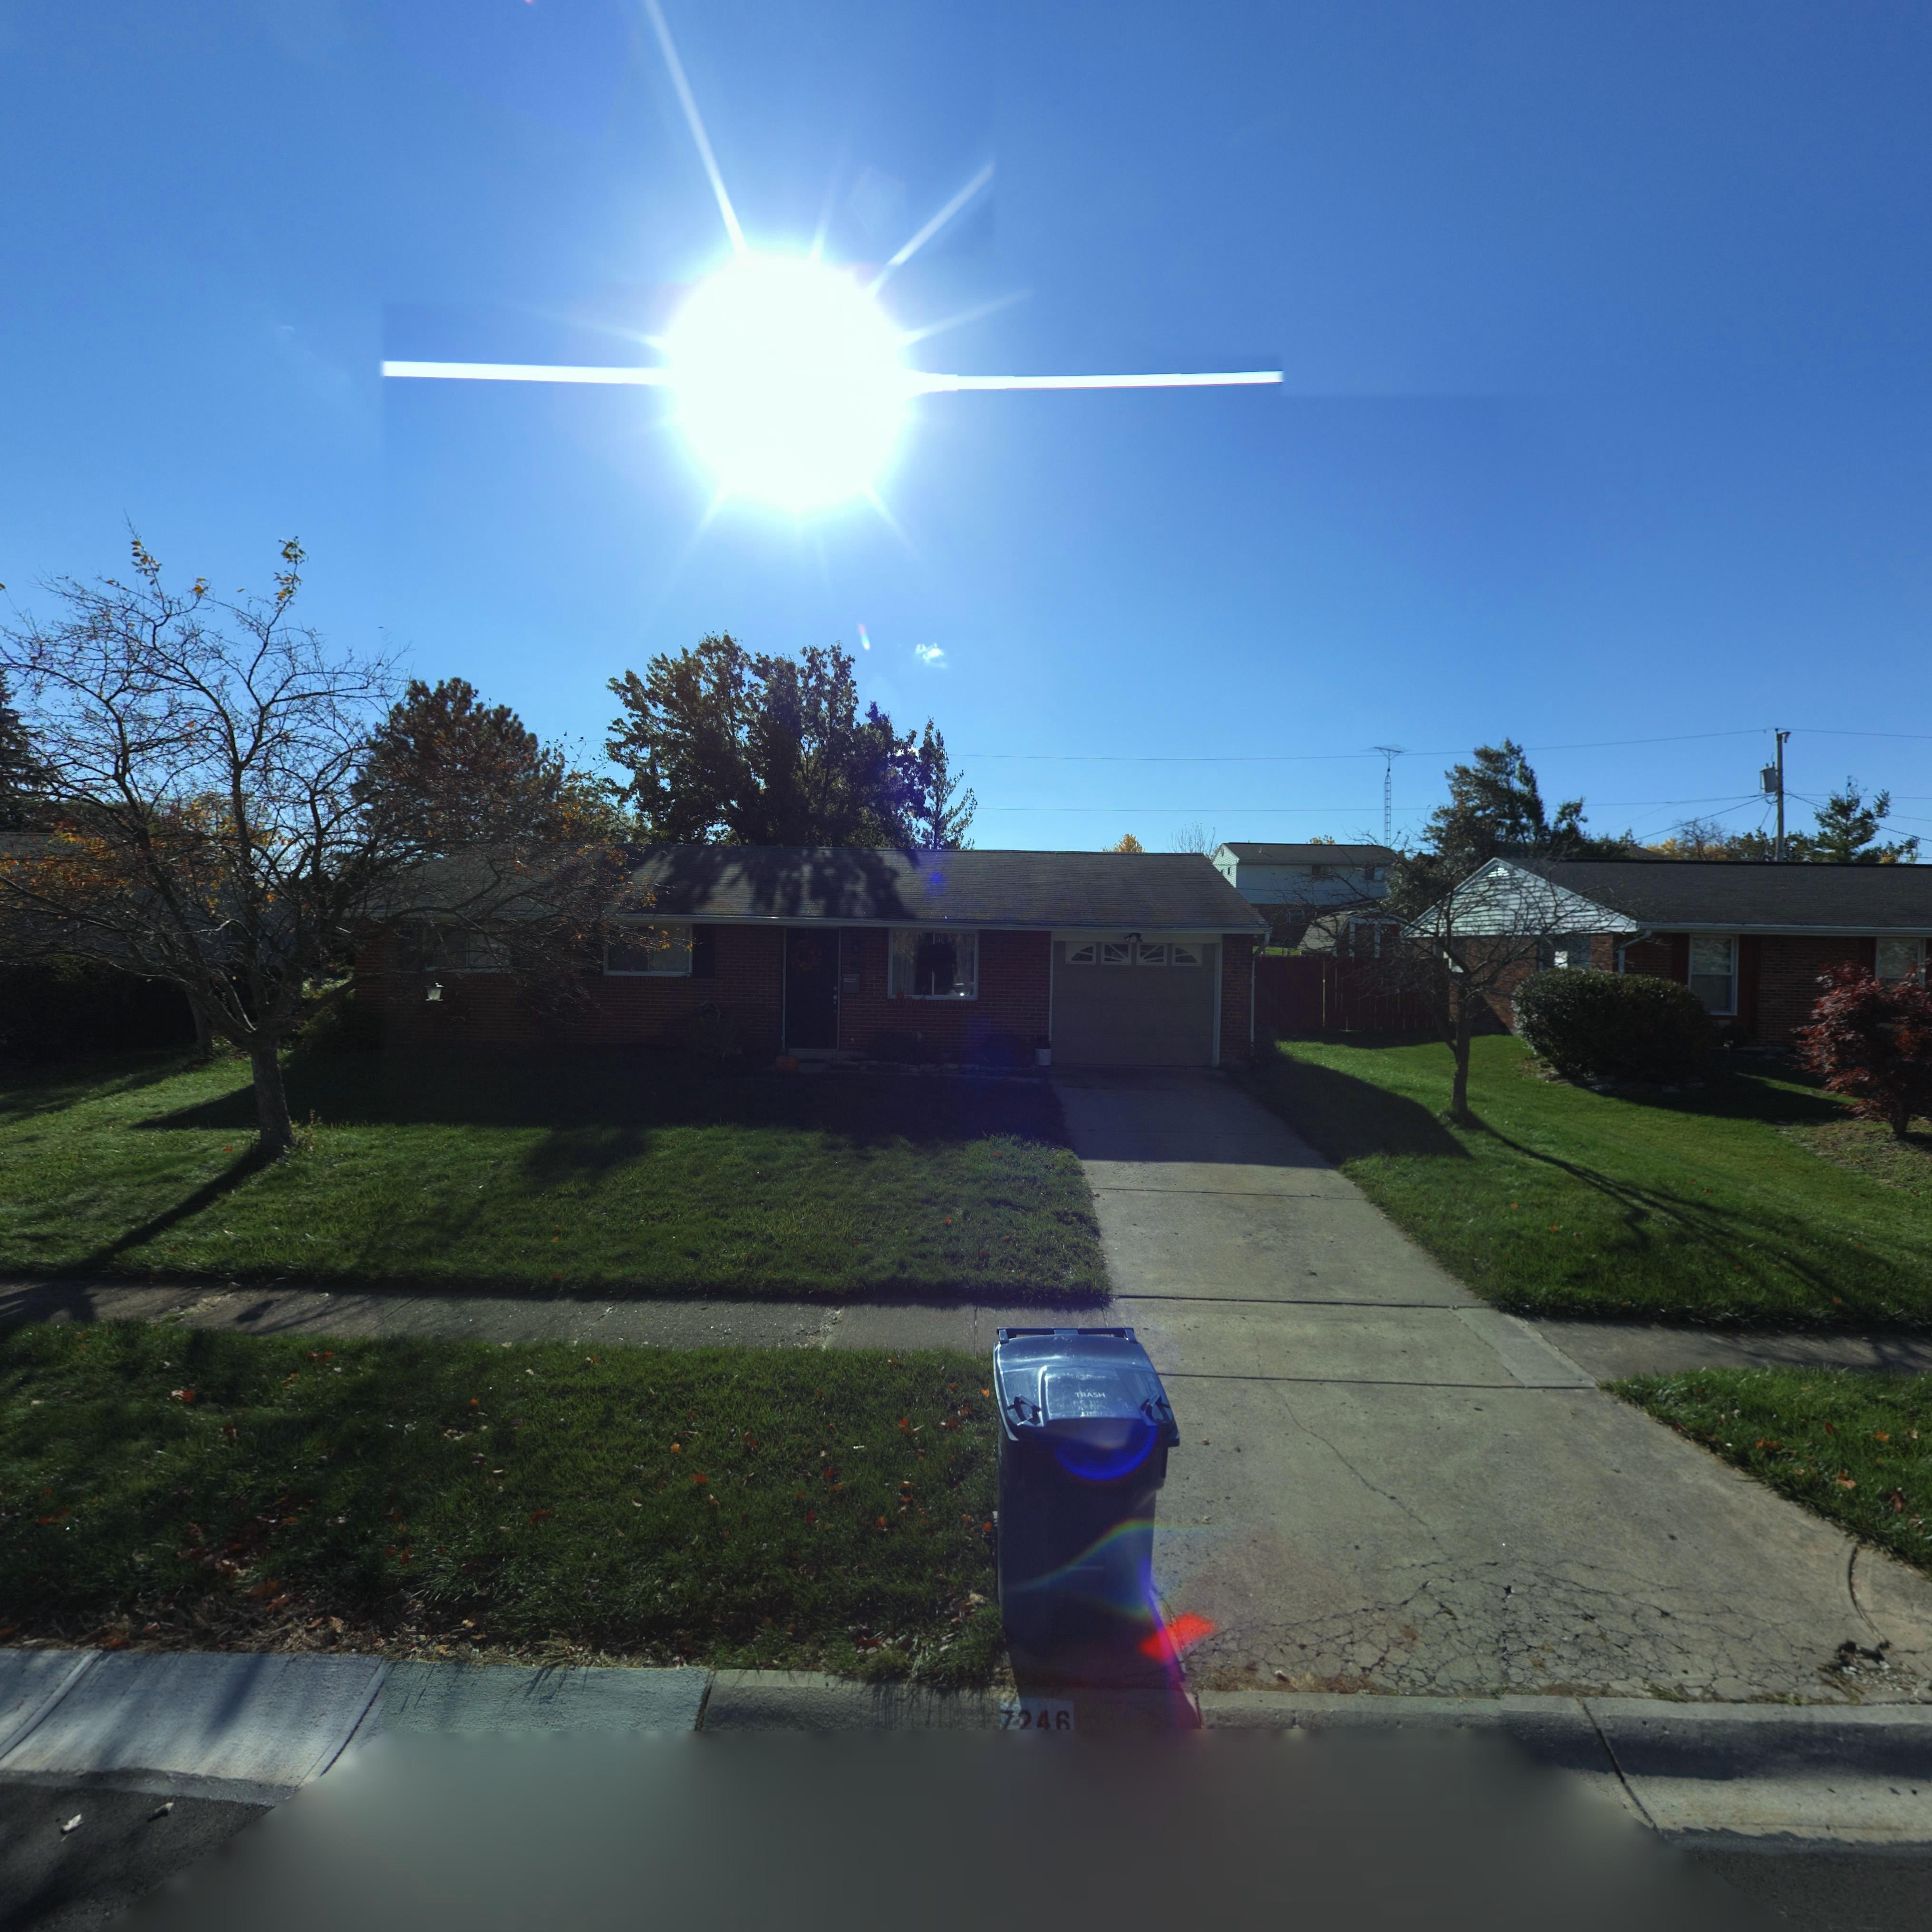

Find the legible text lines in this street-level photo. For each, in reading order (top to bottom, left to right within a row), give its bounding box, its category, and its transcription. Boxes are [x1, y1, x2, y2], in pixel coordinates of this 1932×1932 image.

[997, 1707, 1075, 1733] StreetNumber: 7*4*